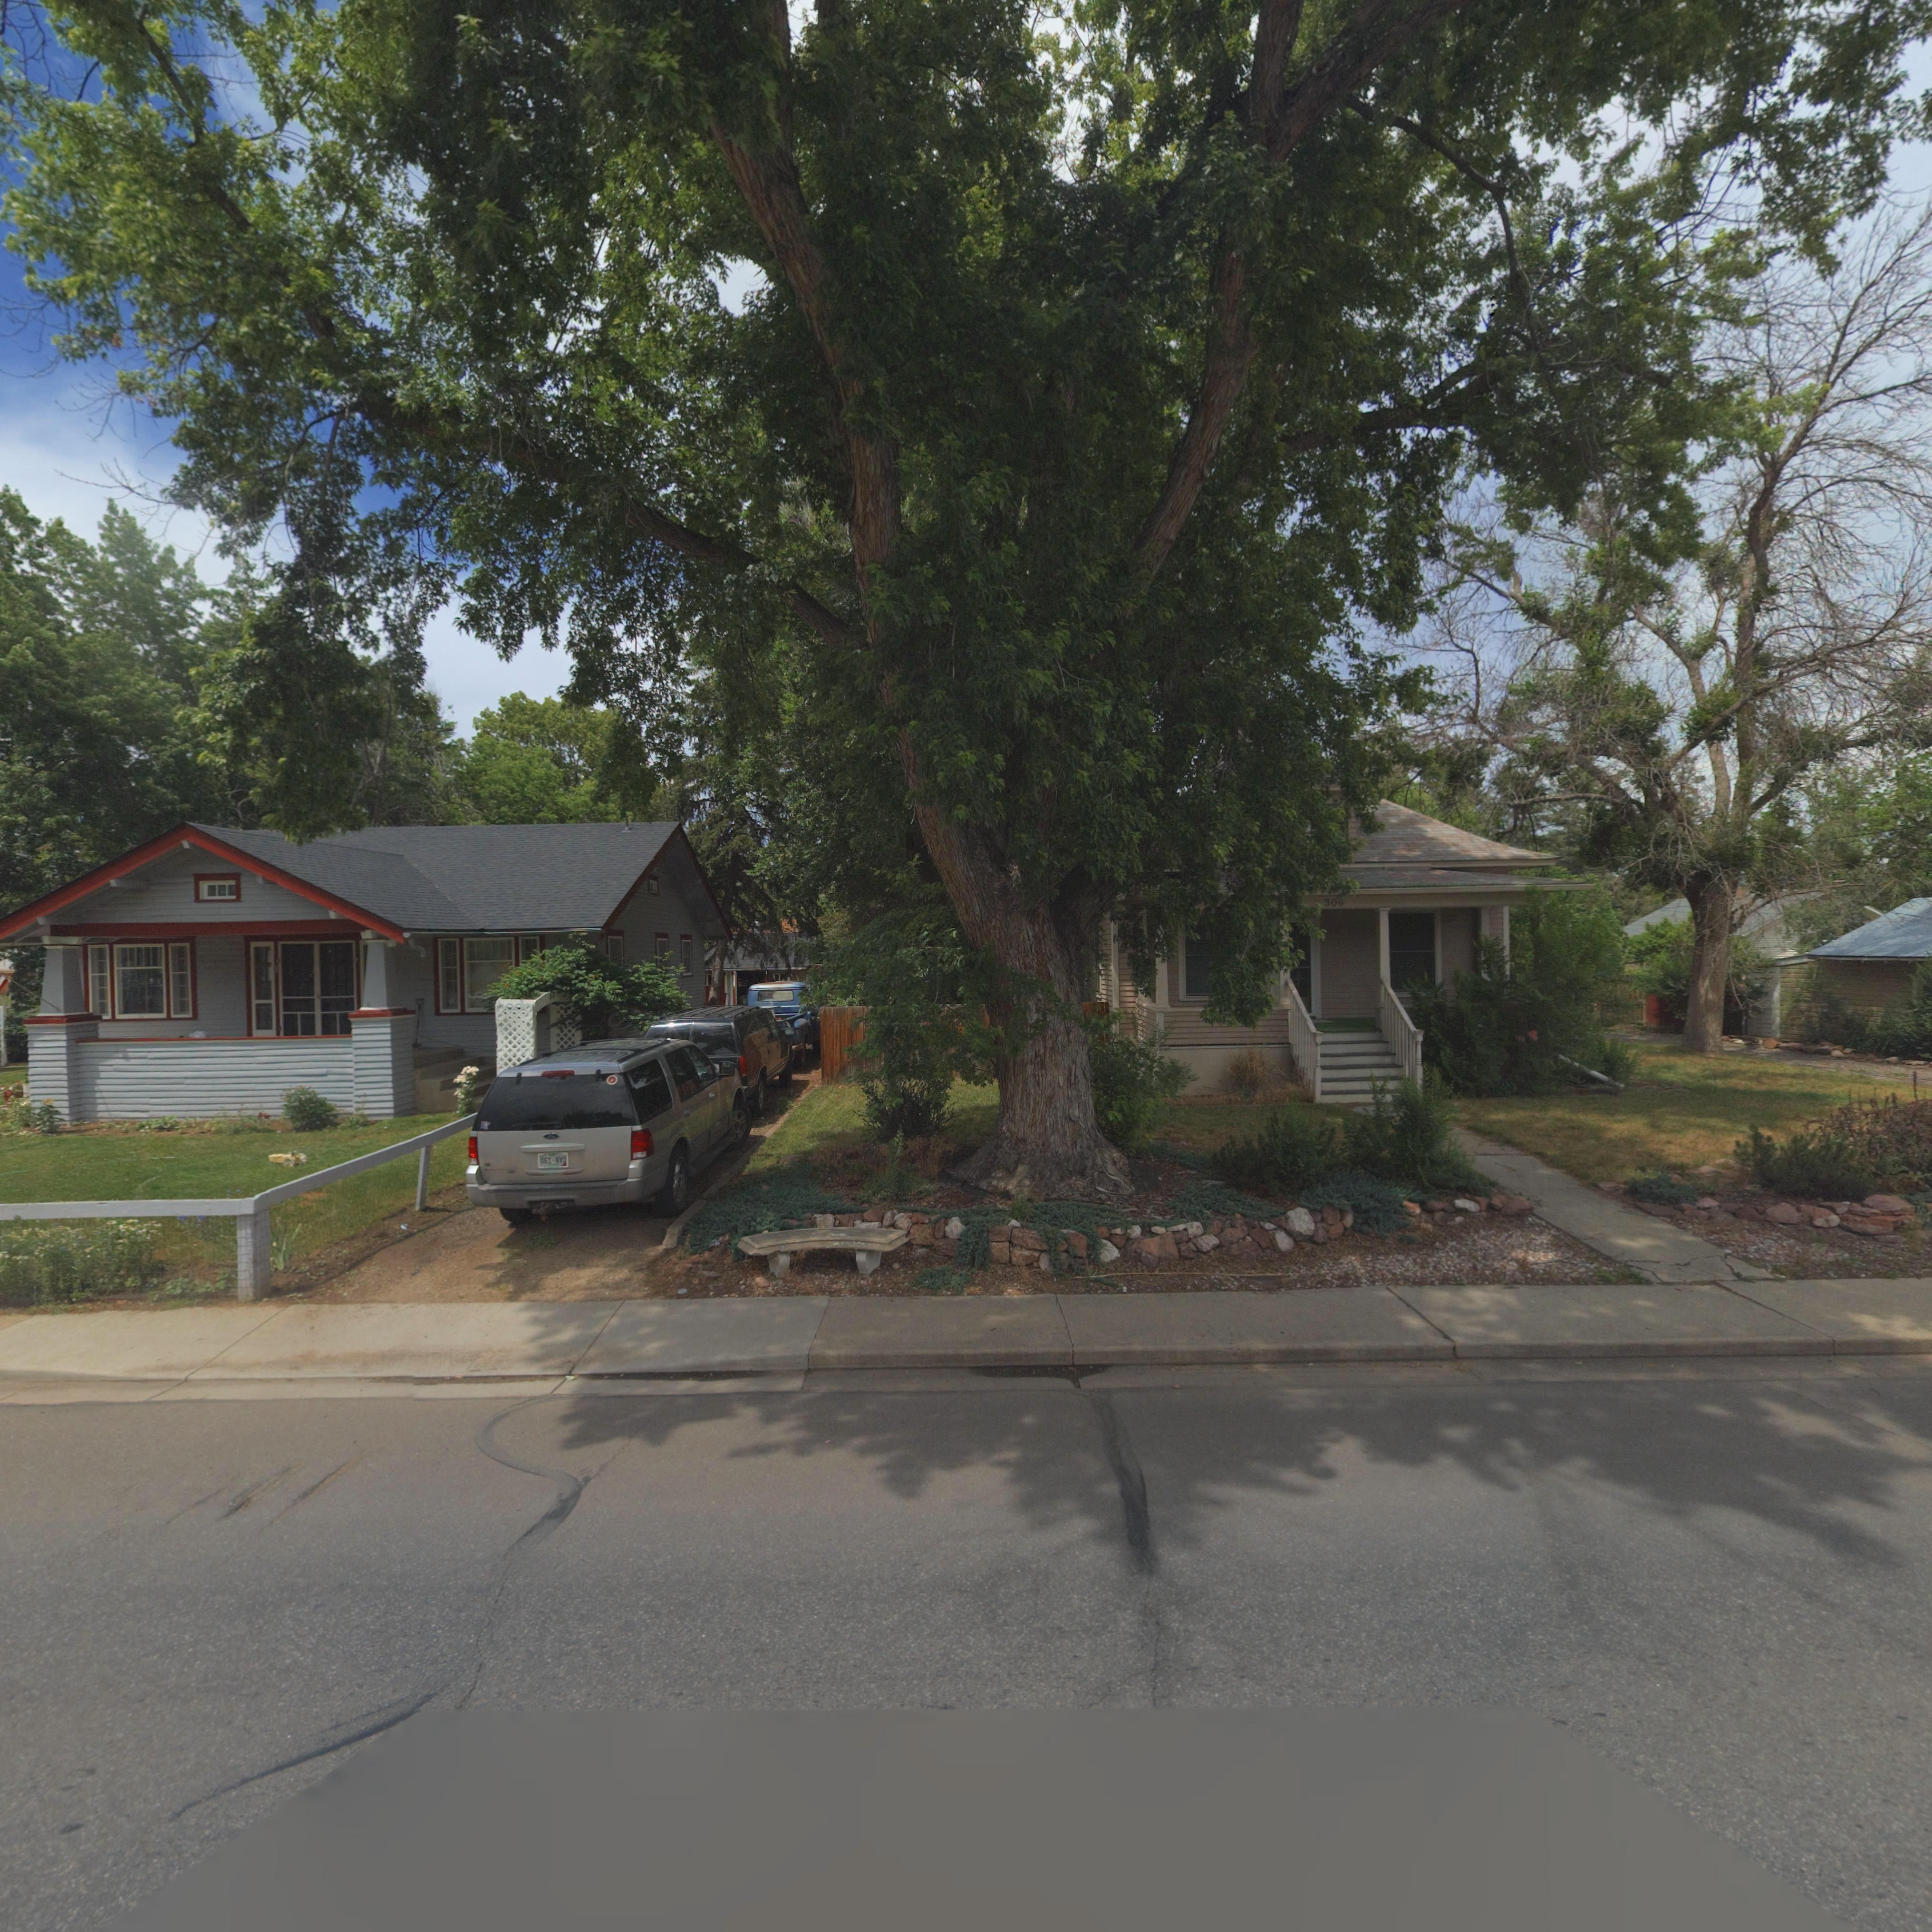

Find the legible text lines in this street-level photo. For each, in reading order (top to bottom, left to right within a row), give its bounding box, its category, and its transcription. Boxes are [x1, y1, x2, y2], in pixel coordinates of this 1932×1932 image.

[1324, 898, 1343, 907] StreetNumber: 306